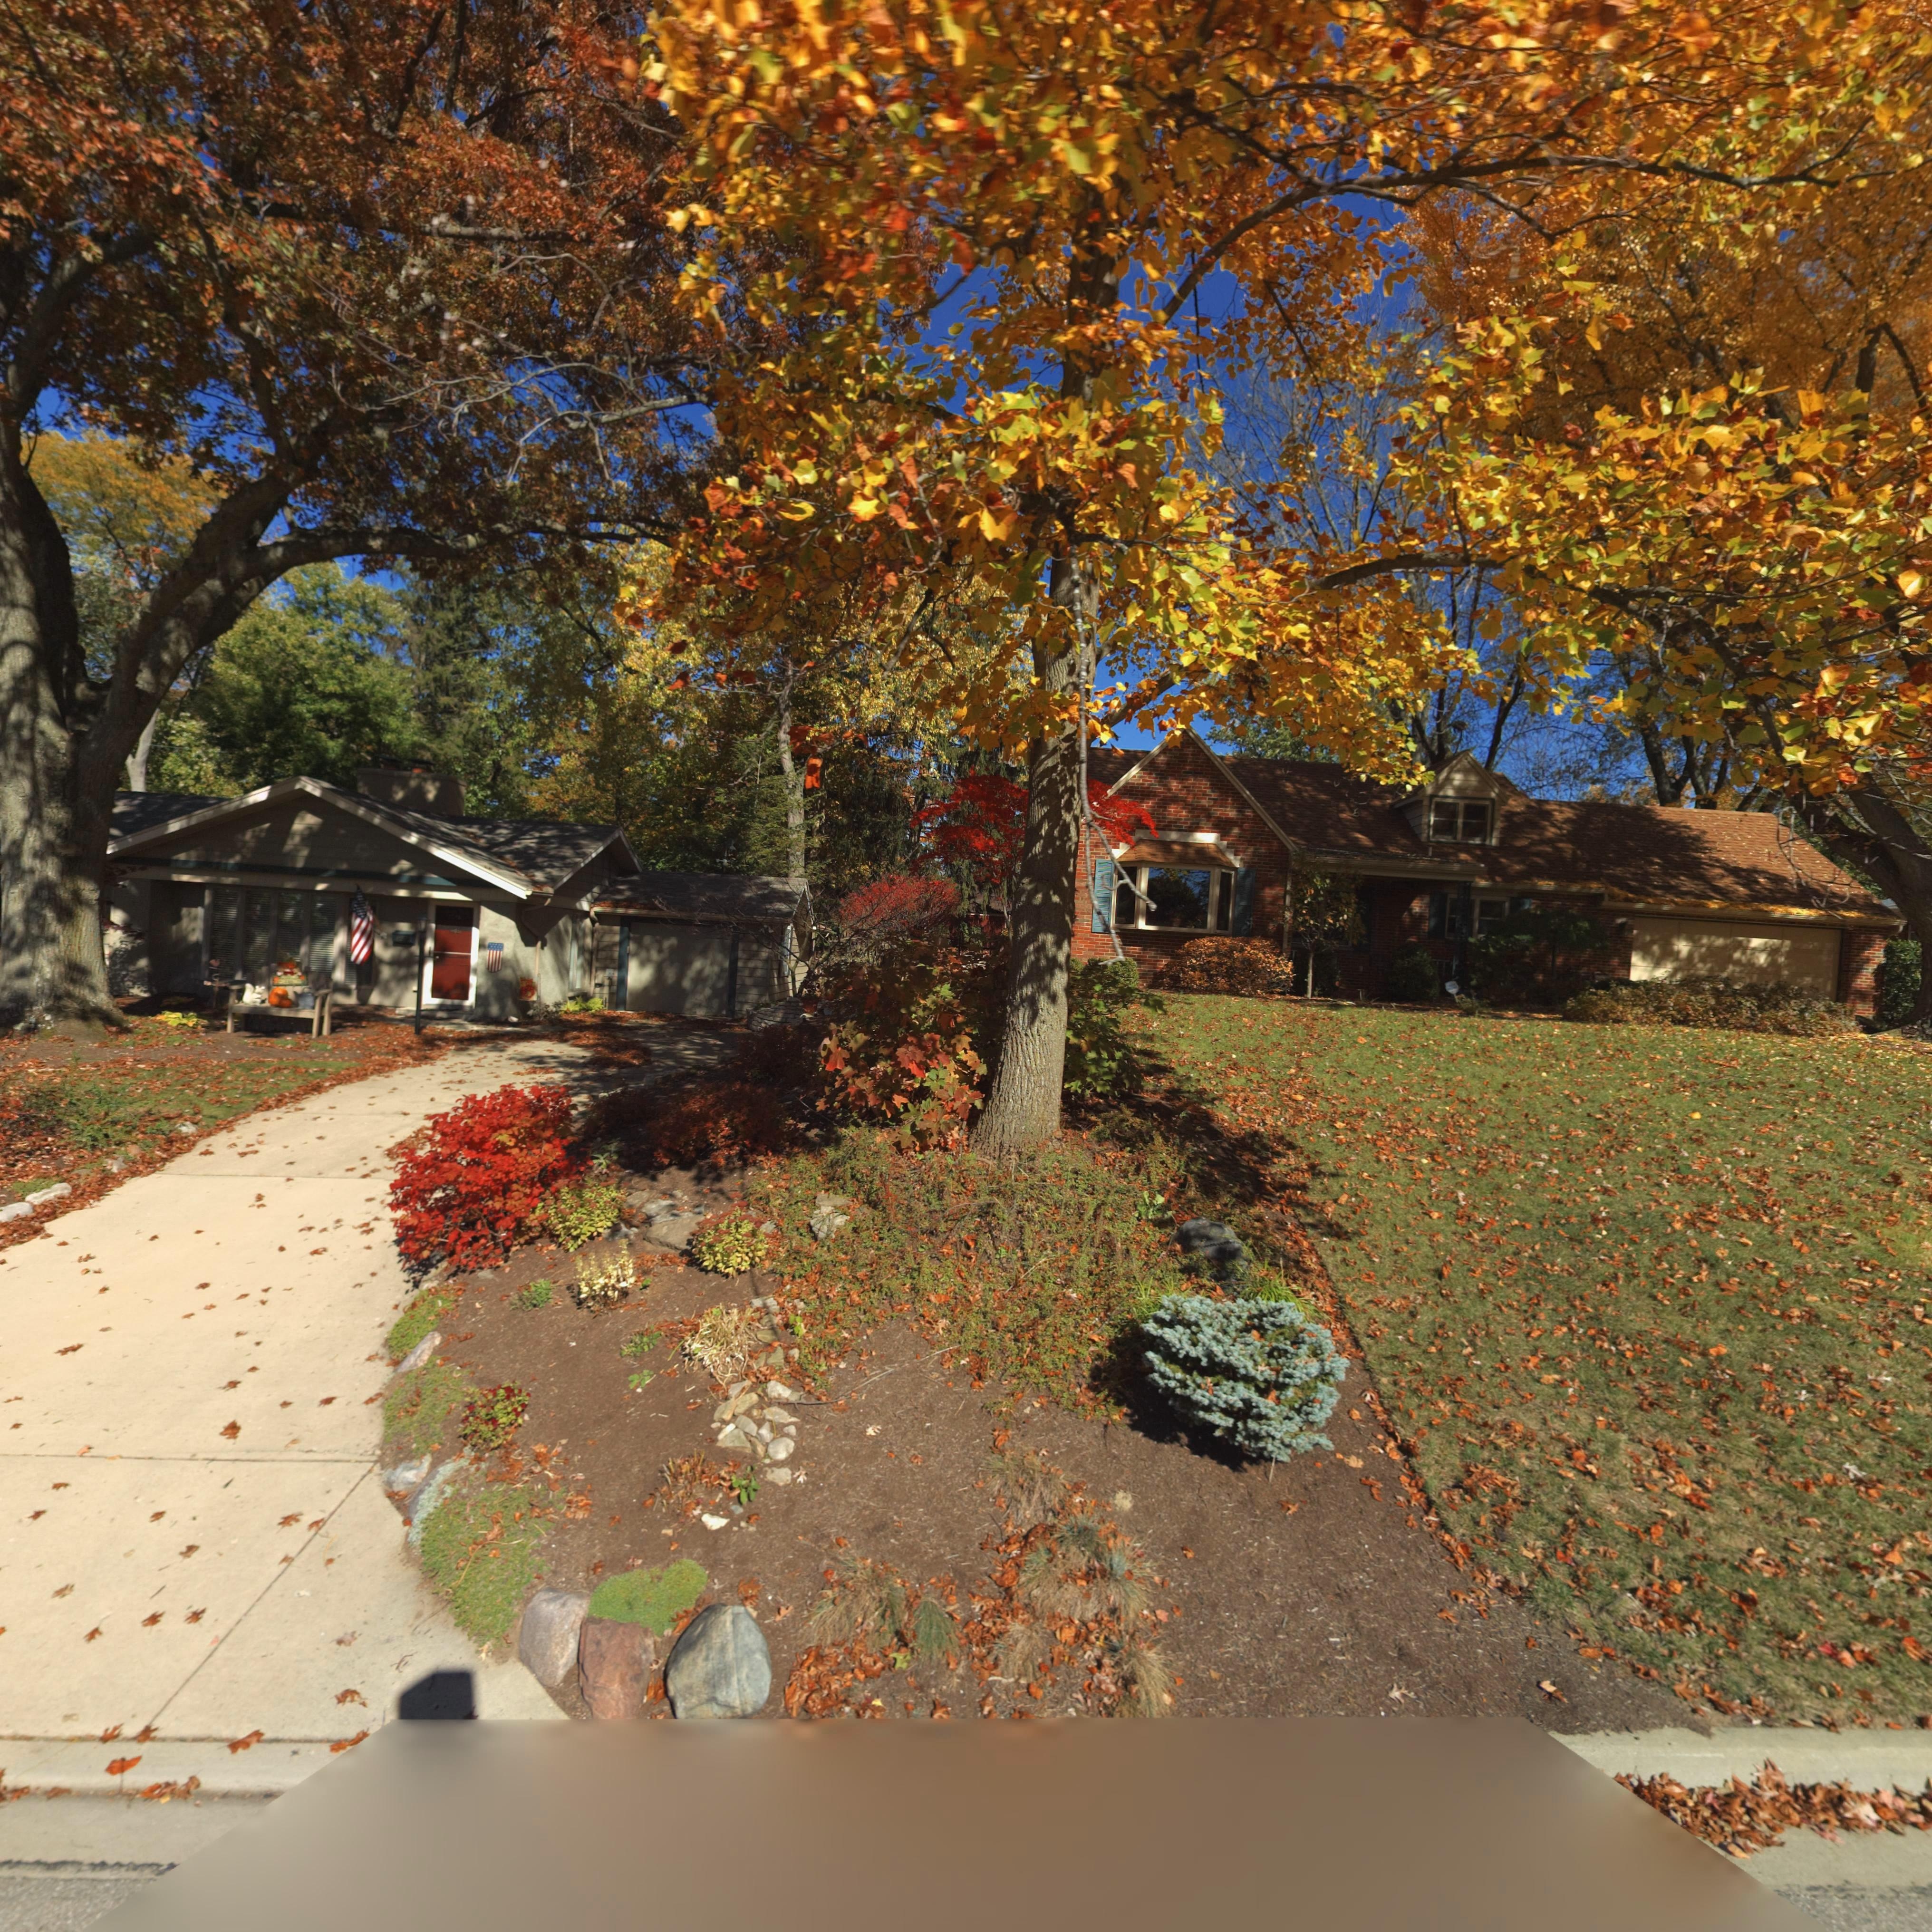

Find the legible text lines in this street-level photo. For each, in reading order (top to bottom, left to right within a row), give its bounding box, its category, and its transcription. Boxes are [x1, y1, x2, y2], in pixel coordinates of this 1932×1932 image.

[397, 935, 405, 943] StreetNumber: 2